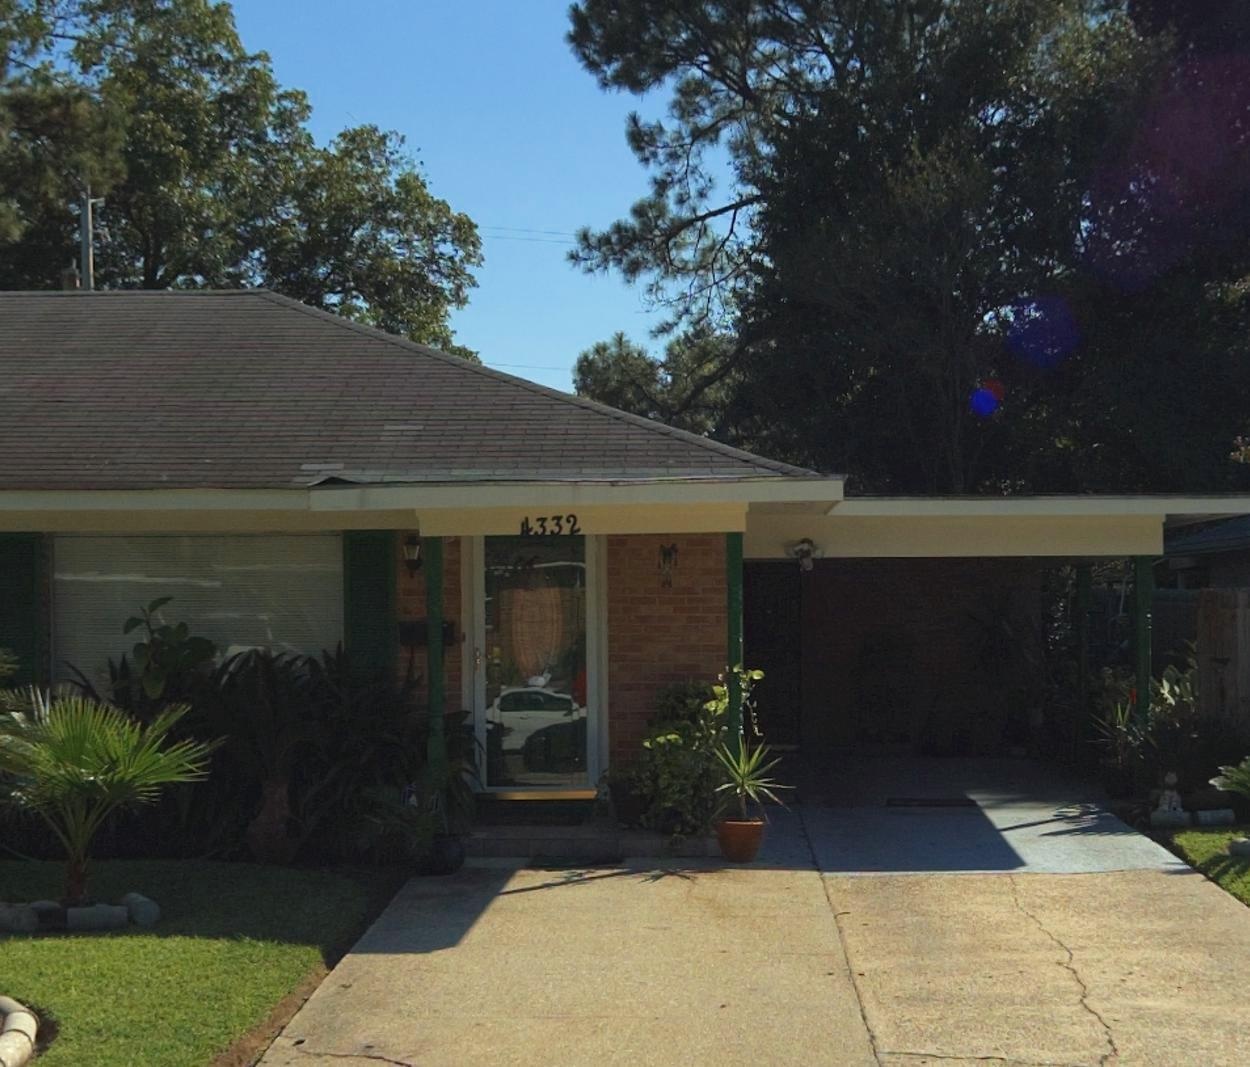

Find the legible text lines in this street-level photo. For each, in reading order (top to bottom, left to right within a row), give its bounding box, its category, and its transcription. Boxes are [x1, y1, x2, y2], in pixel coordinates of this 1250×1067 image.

[520, 514, 581, 536] StreetNumber: 4332